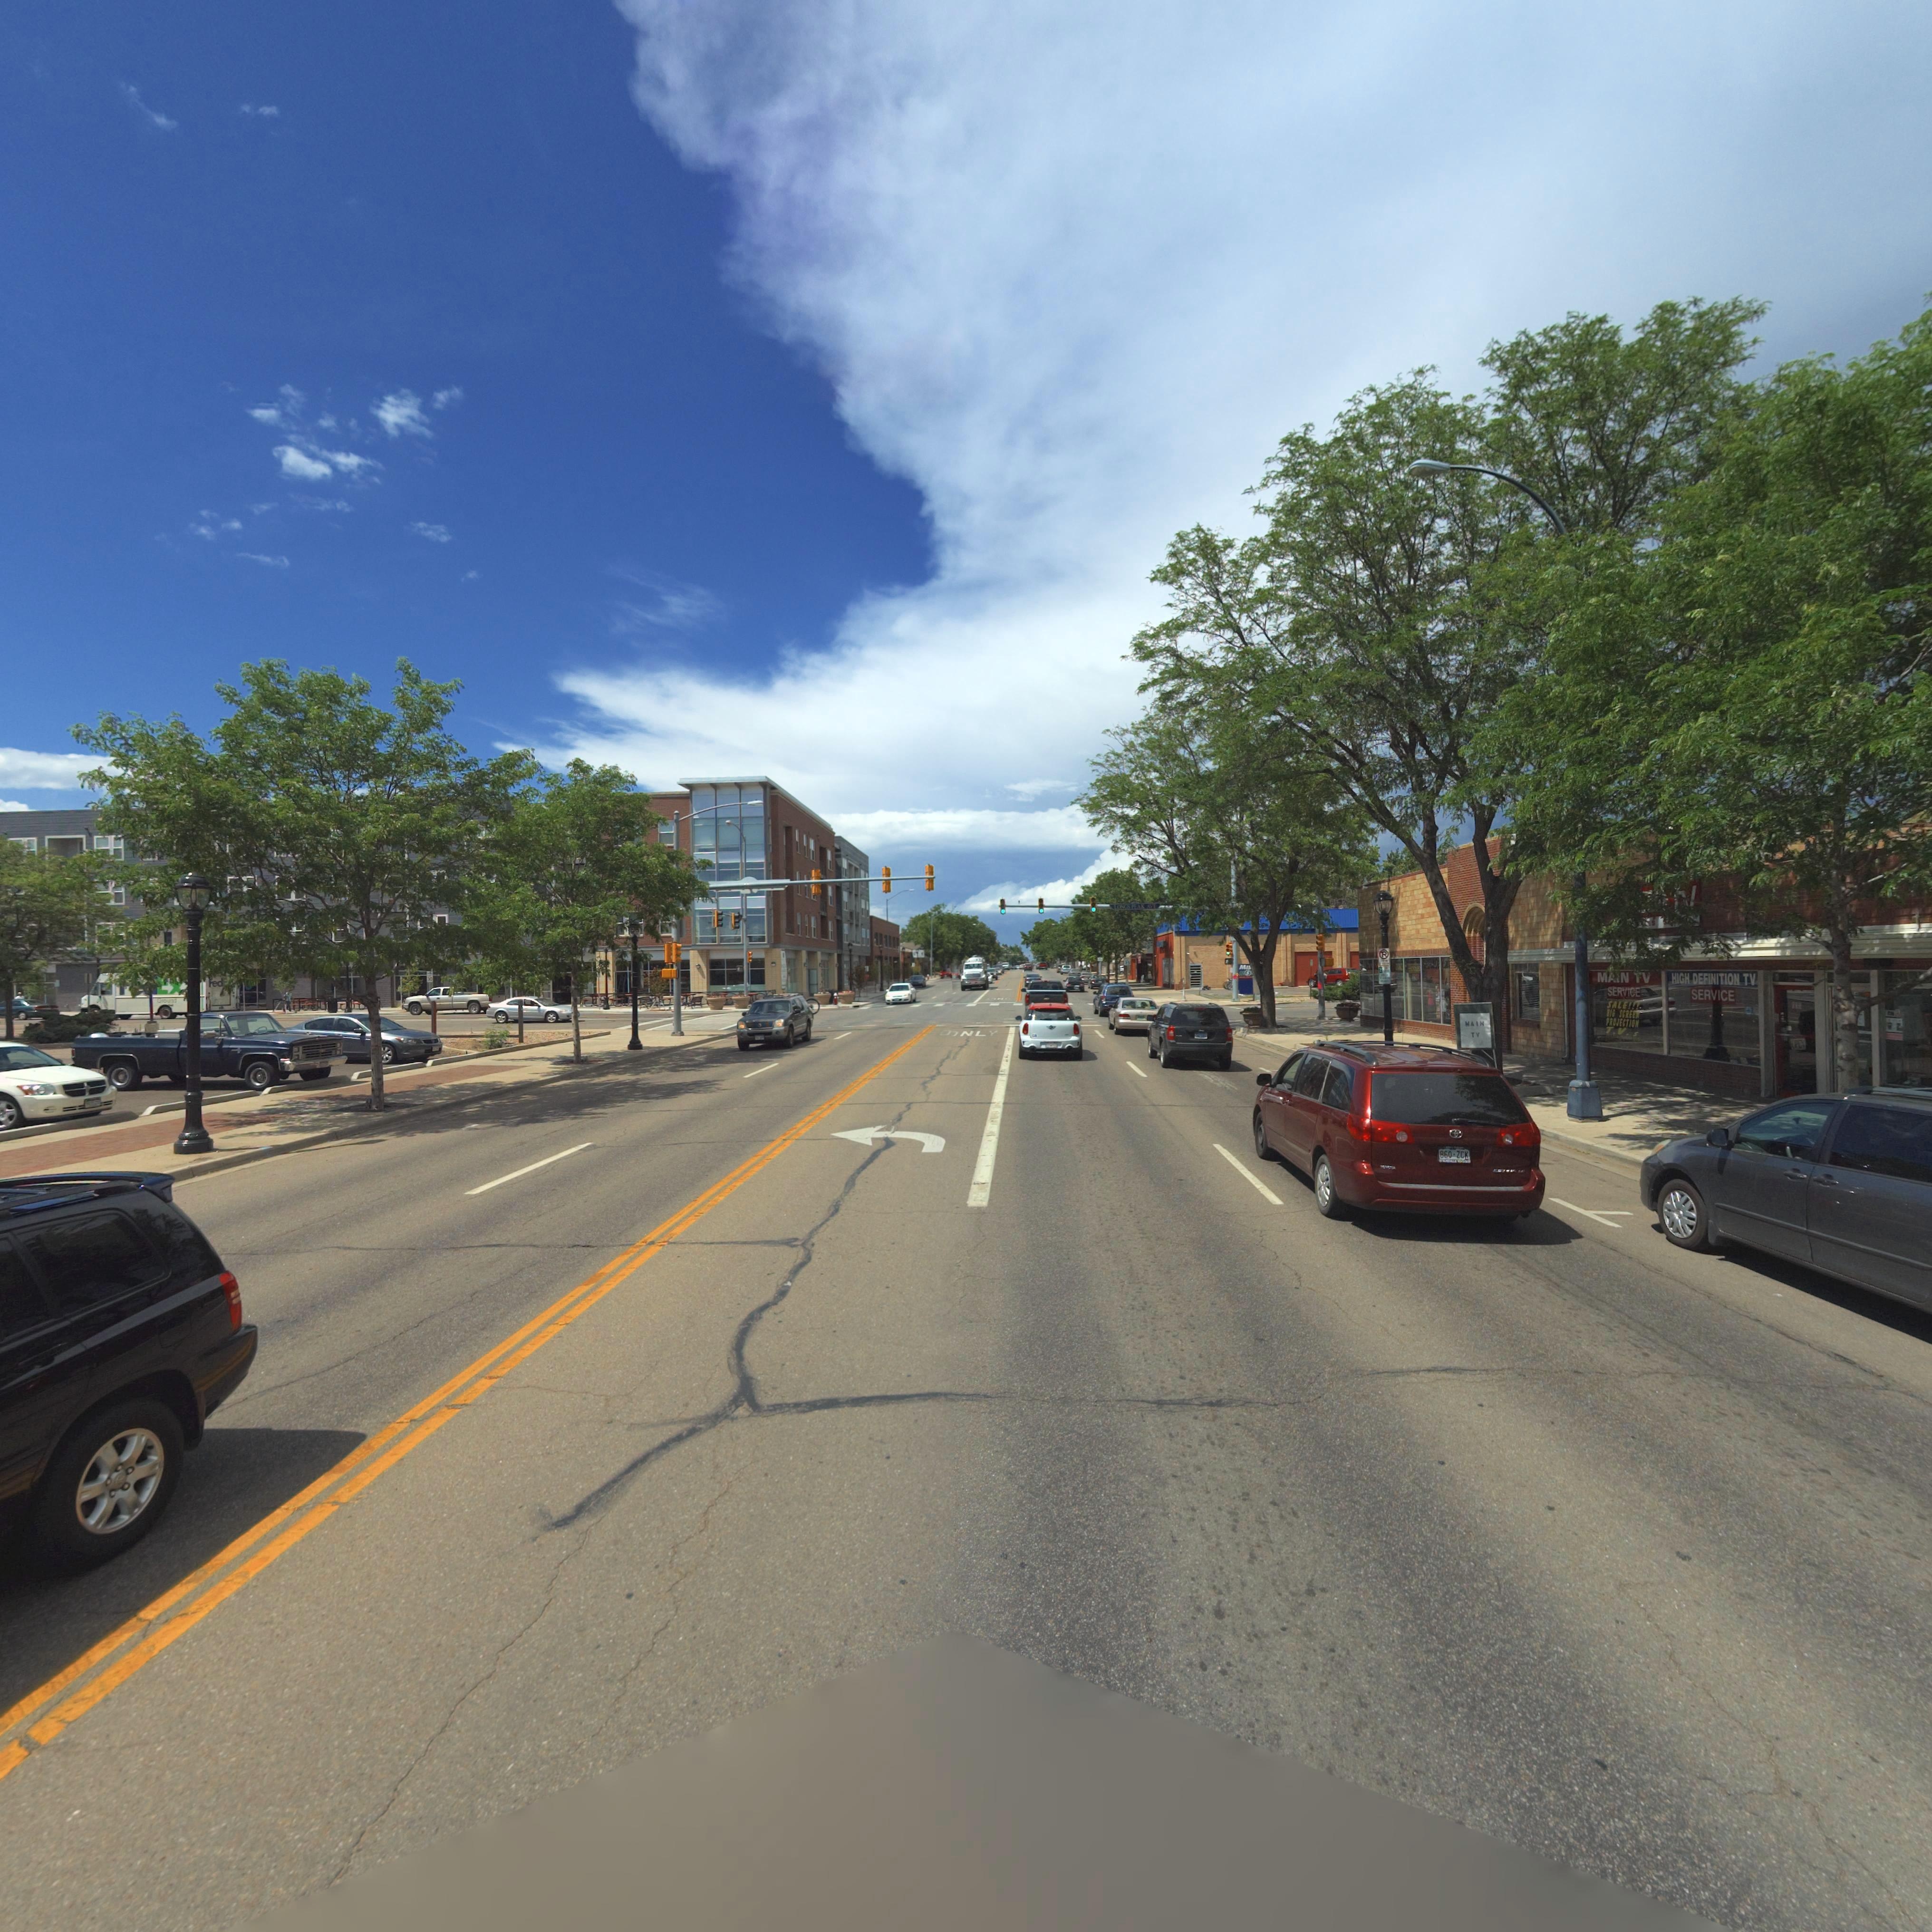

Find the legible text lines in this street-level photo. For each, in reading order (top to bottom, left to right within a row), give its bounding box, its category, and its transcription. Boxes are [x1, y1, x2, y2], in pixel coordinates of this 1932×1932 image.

[1114, 903, 1156, 909] StreetName: LONGS PEAK AVE
[1239, 964, 1251, 969] BusinessName: M*S
[1239, 969, 1254, 976] BusinessName: M**
[1598, 972, 1629, 983] BusinessName: MA*N
[1633, 972, 1651, 983] BusinessName: TV
[1465, 1020, 1484, 1027] BusinessName: MAIN
[1471, 1032, 1480, 1037] BusinessName: TV